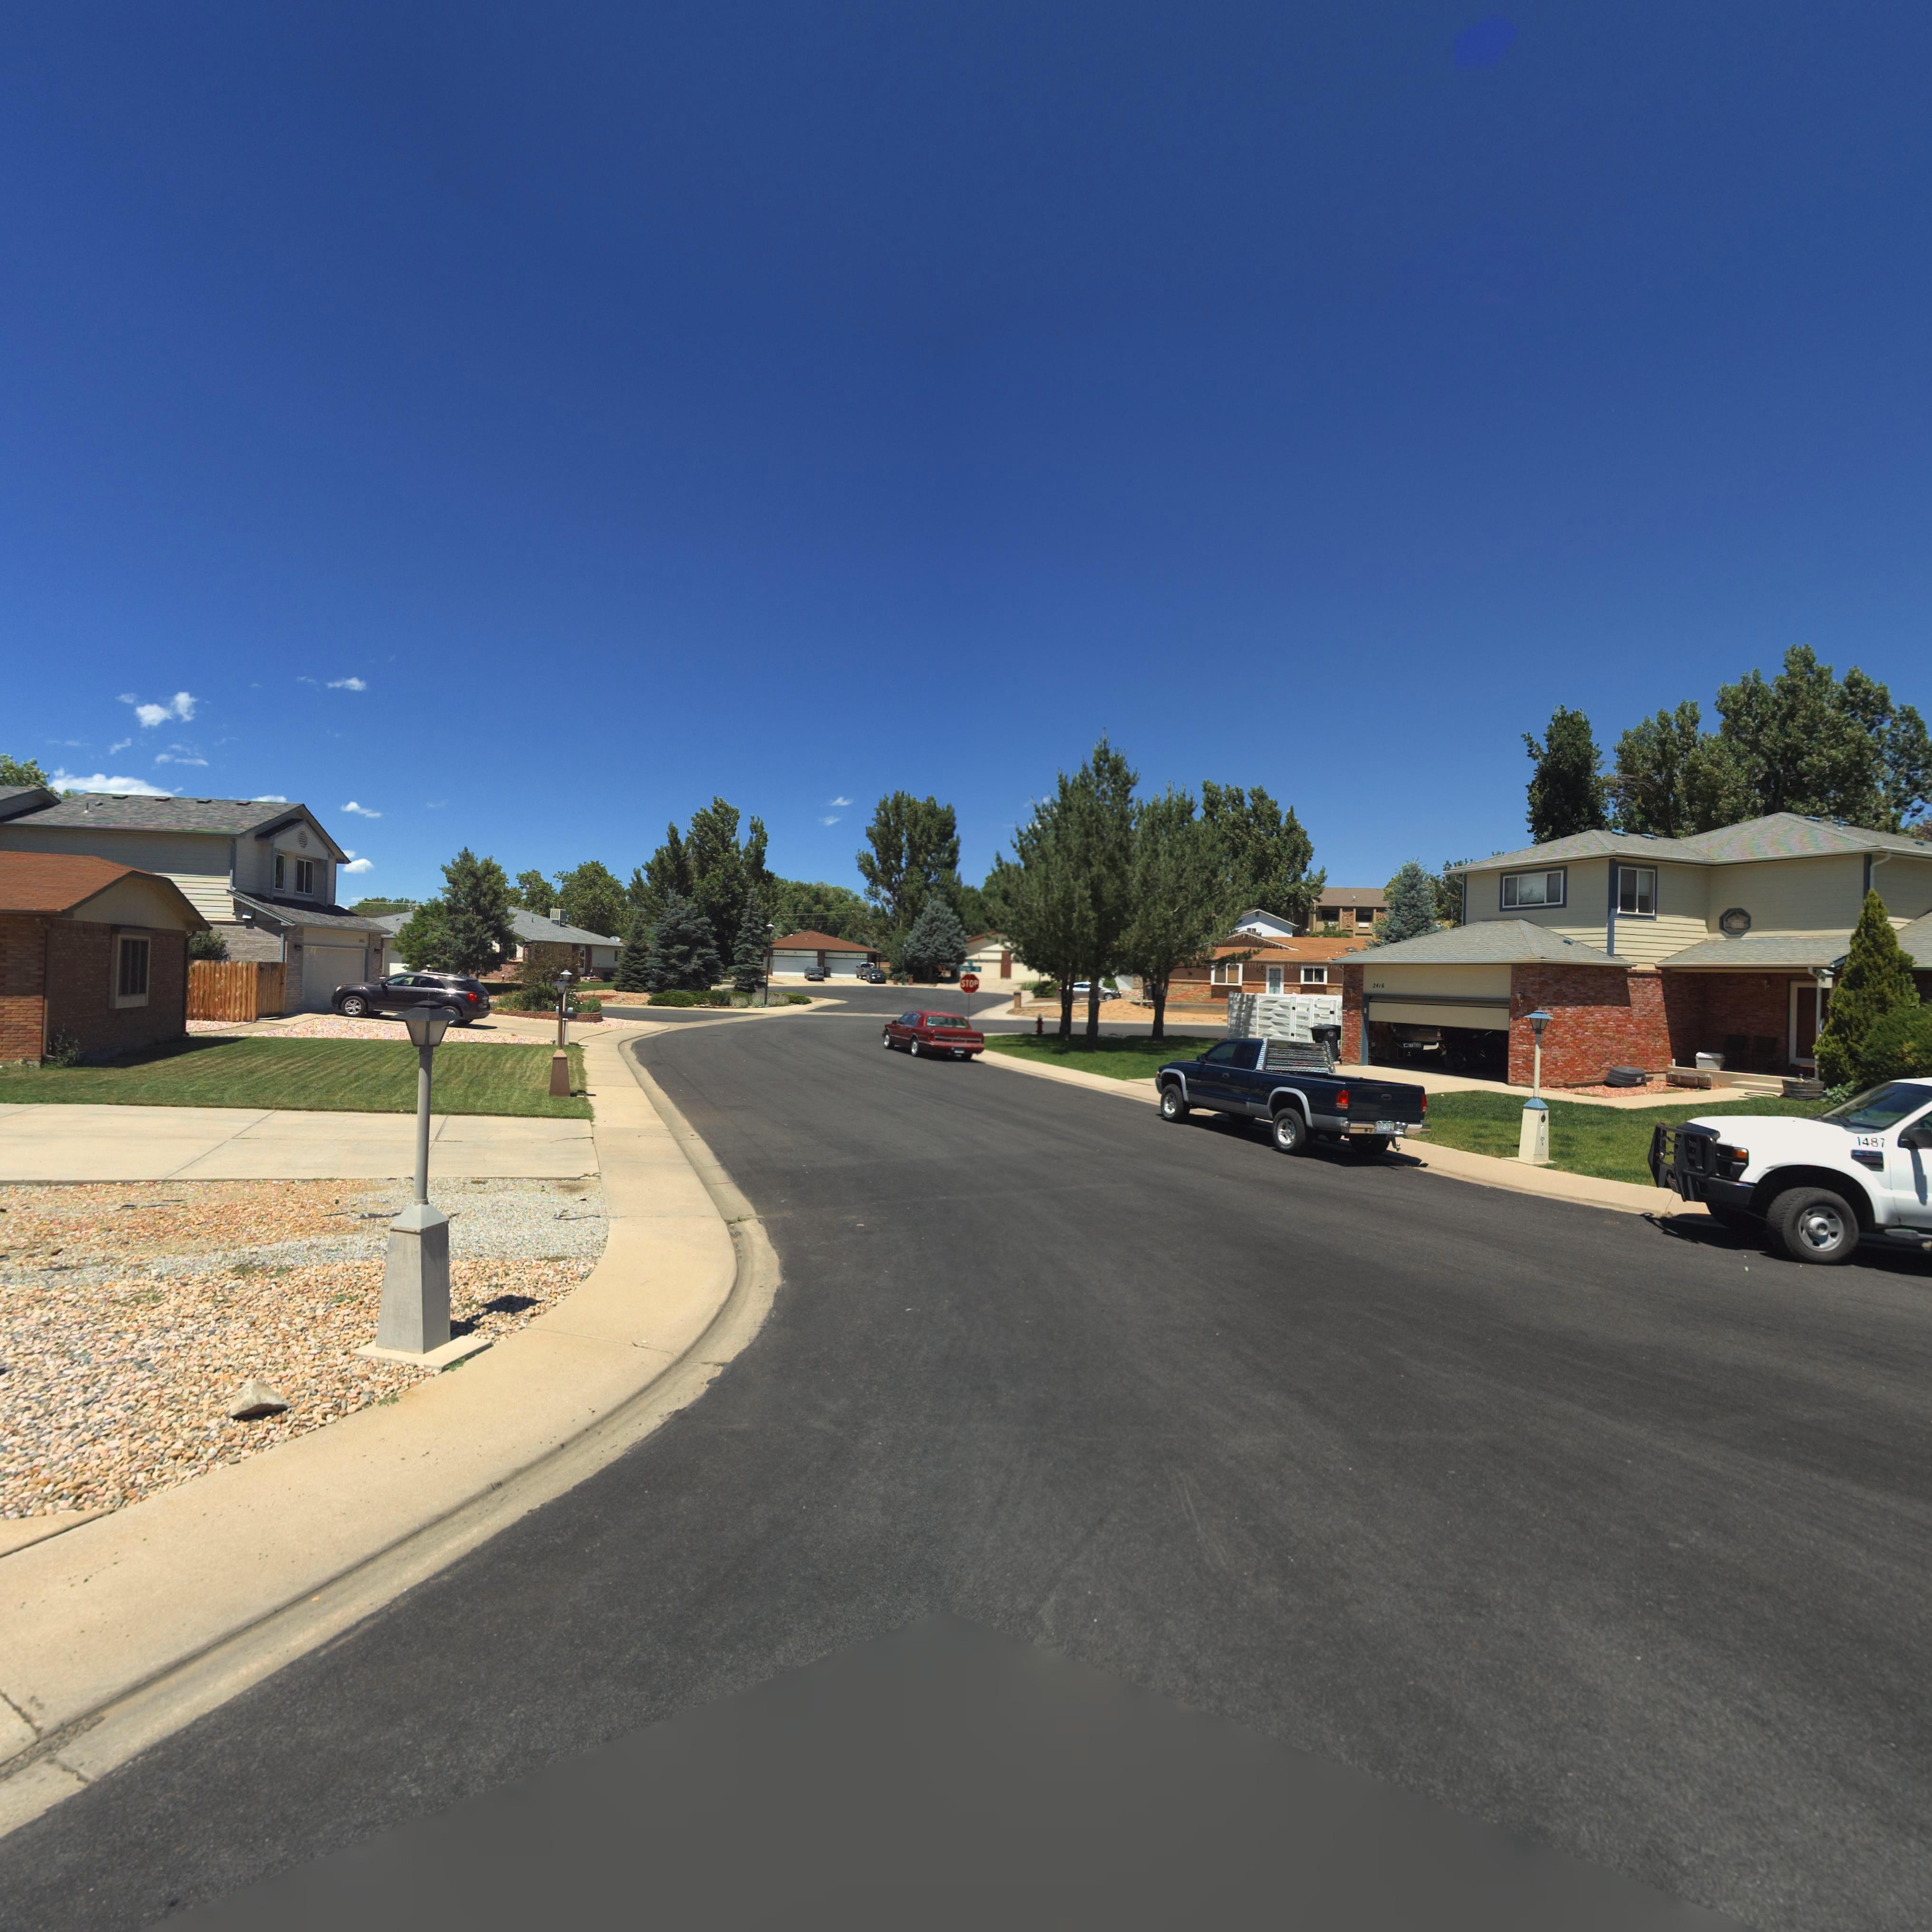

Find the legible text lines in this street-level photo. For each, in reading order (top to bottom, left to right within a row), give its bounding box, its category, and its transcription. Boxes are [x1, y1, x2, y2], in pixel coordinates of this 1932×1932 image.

[1256, 968, 1265, 977] StreetNumber: *43*
[1372, 983, 1384, 988] StreetNumber: 2416
[1857, 1136, 1884, 1148] StreetNumber: 1487